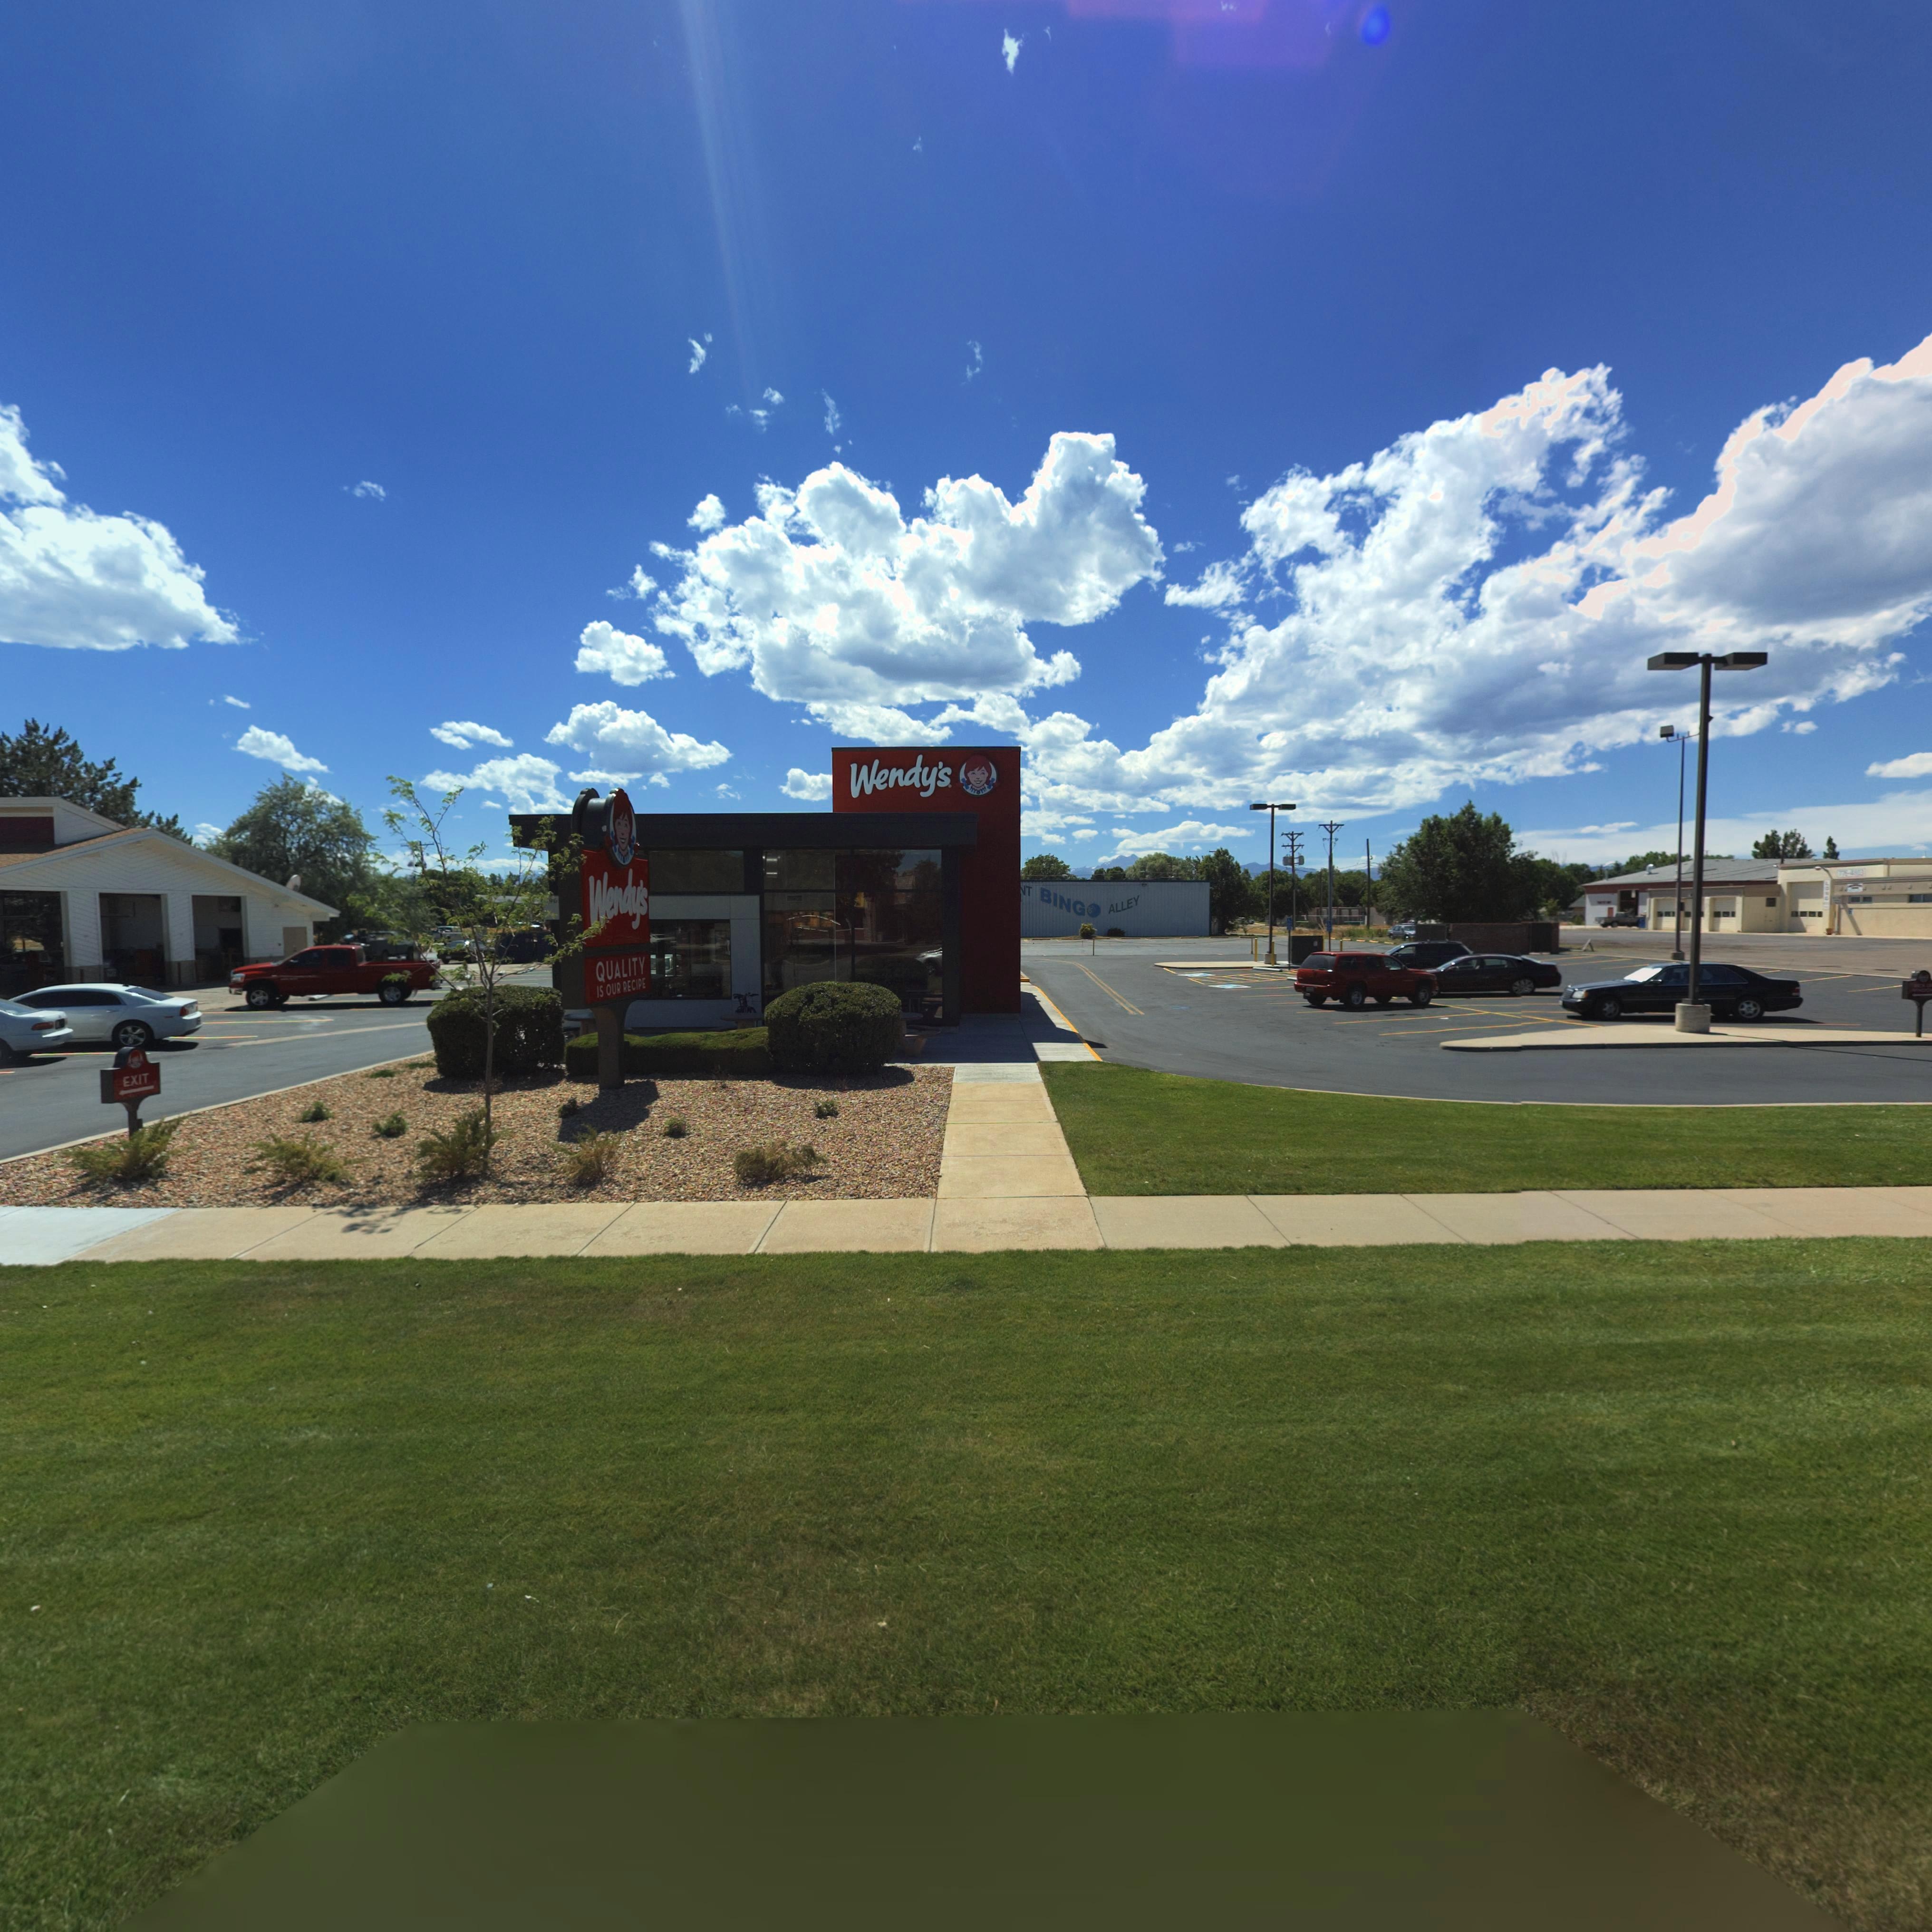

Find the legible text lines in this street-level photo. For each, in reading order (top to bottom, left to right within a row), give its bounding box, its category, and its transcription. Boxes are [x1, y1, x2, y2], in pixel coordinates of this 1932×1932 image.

[850, 754, 952, 798] BusinessName: Wendy's
[588, 868, 648, 930] BusinessName: Wendy's
[1025, 885, 1140, 918] BusinessName: T BING* ALLEY